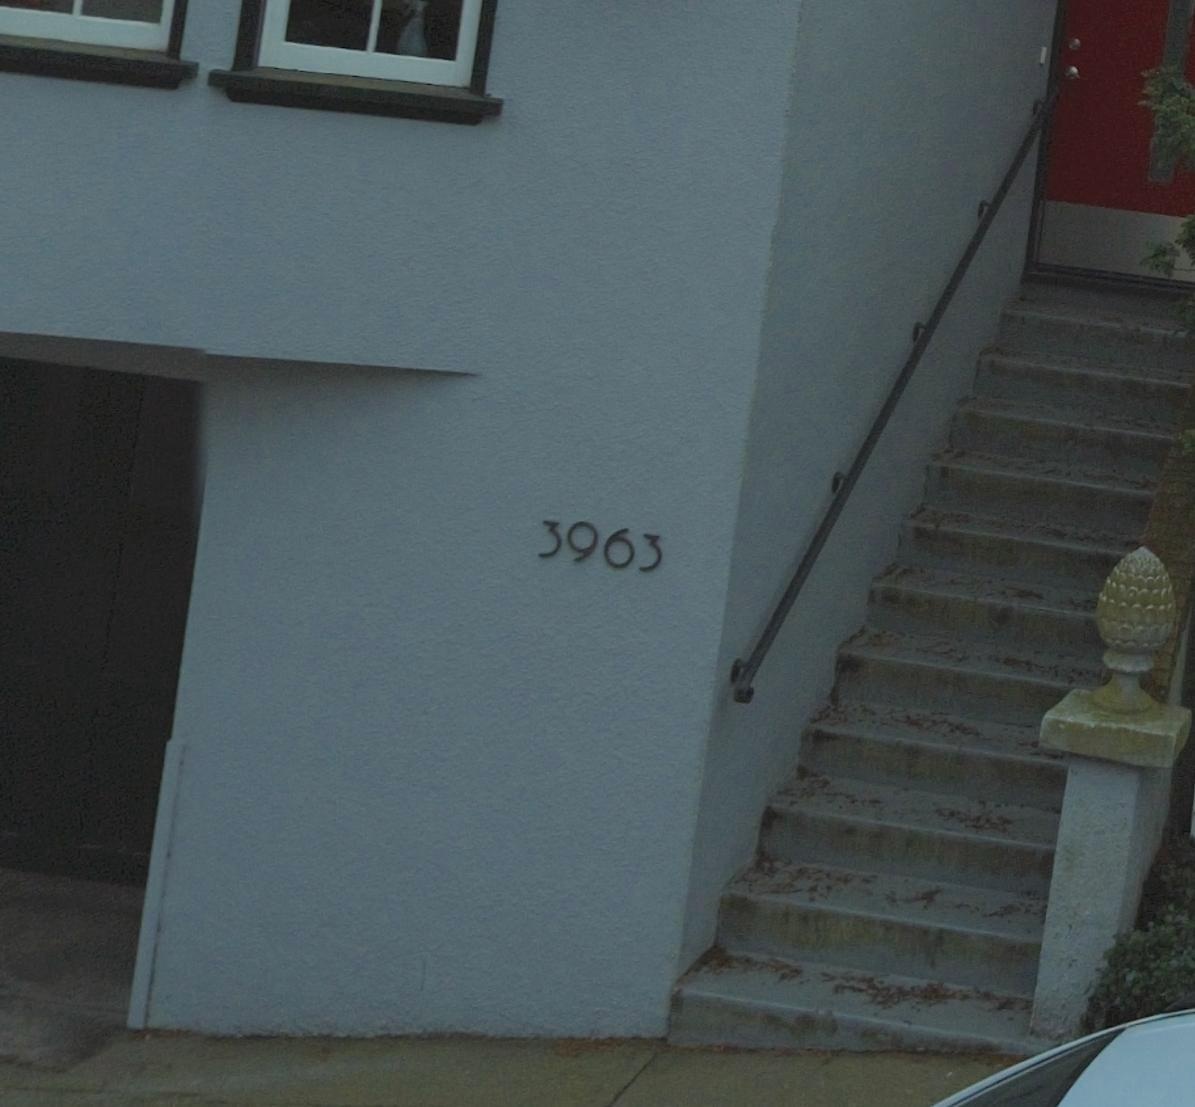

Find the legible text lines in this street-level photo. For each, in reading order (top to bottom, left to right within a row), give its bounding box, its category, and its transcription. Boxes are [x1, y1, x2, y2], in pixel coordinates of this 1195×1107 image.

[537, 518, 665, 575] StreetNumber: 3963